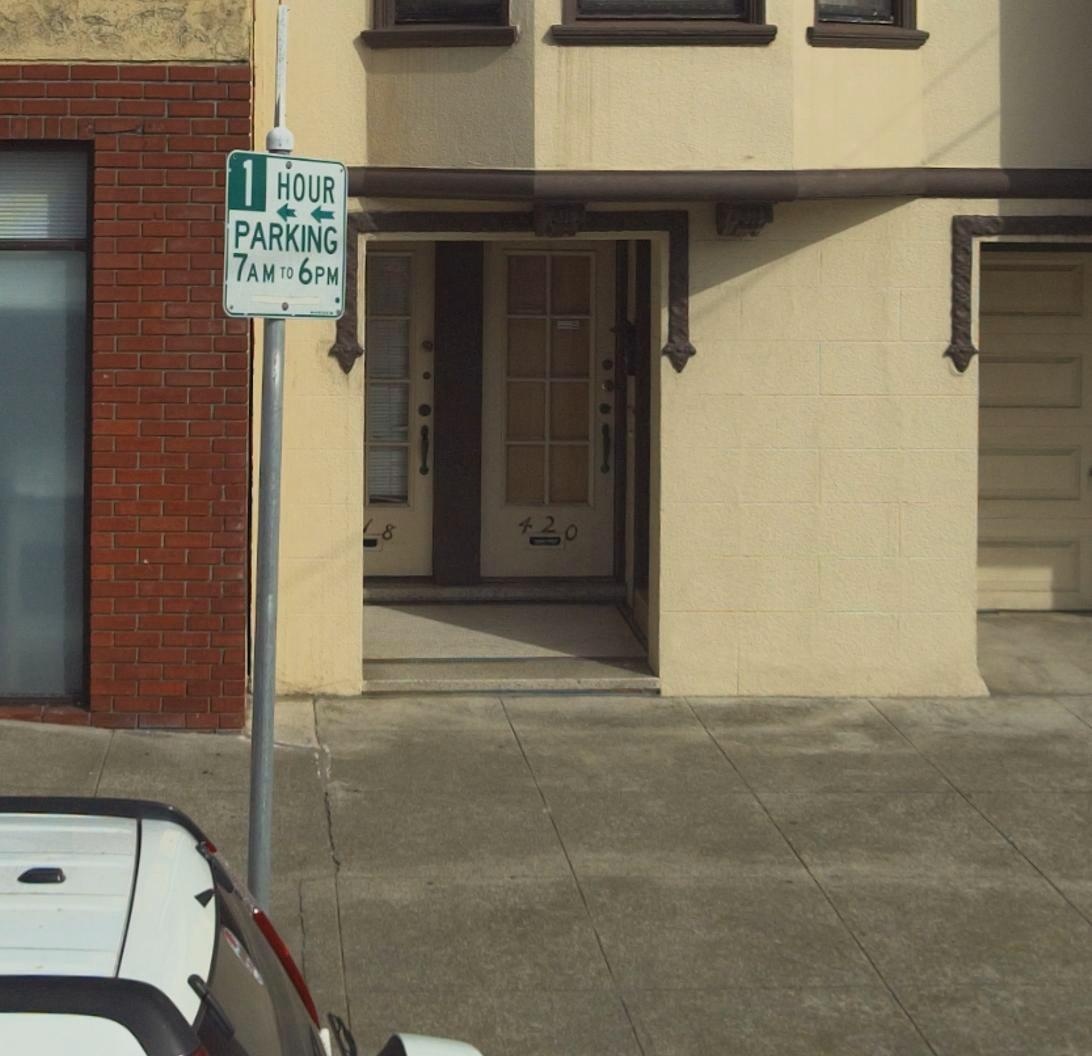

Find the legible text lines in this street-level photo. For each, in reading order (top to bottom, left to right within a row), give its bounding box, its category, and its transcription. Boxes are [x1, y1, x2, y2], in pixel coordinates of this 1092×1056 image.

[240, 155, 338, 211] None: 1 HOUR
[233, 216, 340, 256] None: PARKING
[230, 249, 342, 289] None: 7AM TO 6PM
[358, 513, 399, 545] StreetNumber: 18
[517, 514, 580, 543] StreetNumber: 420